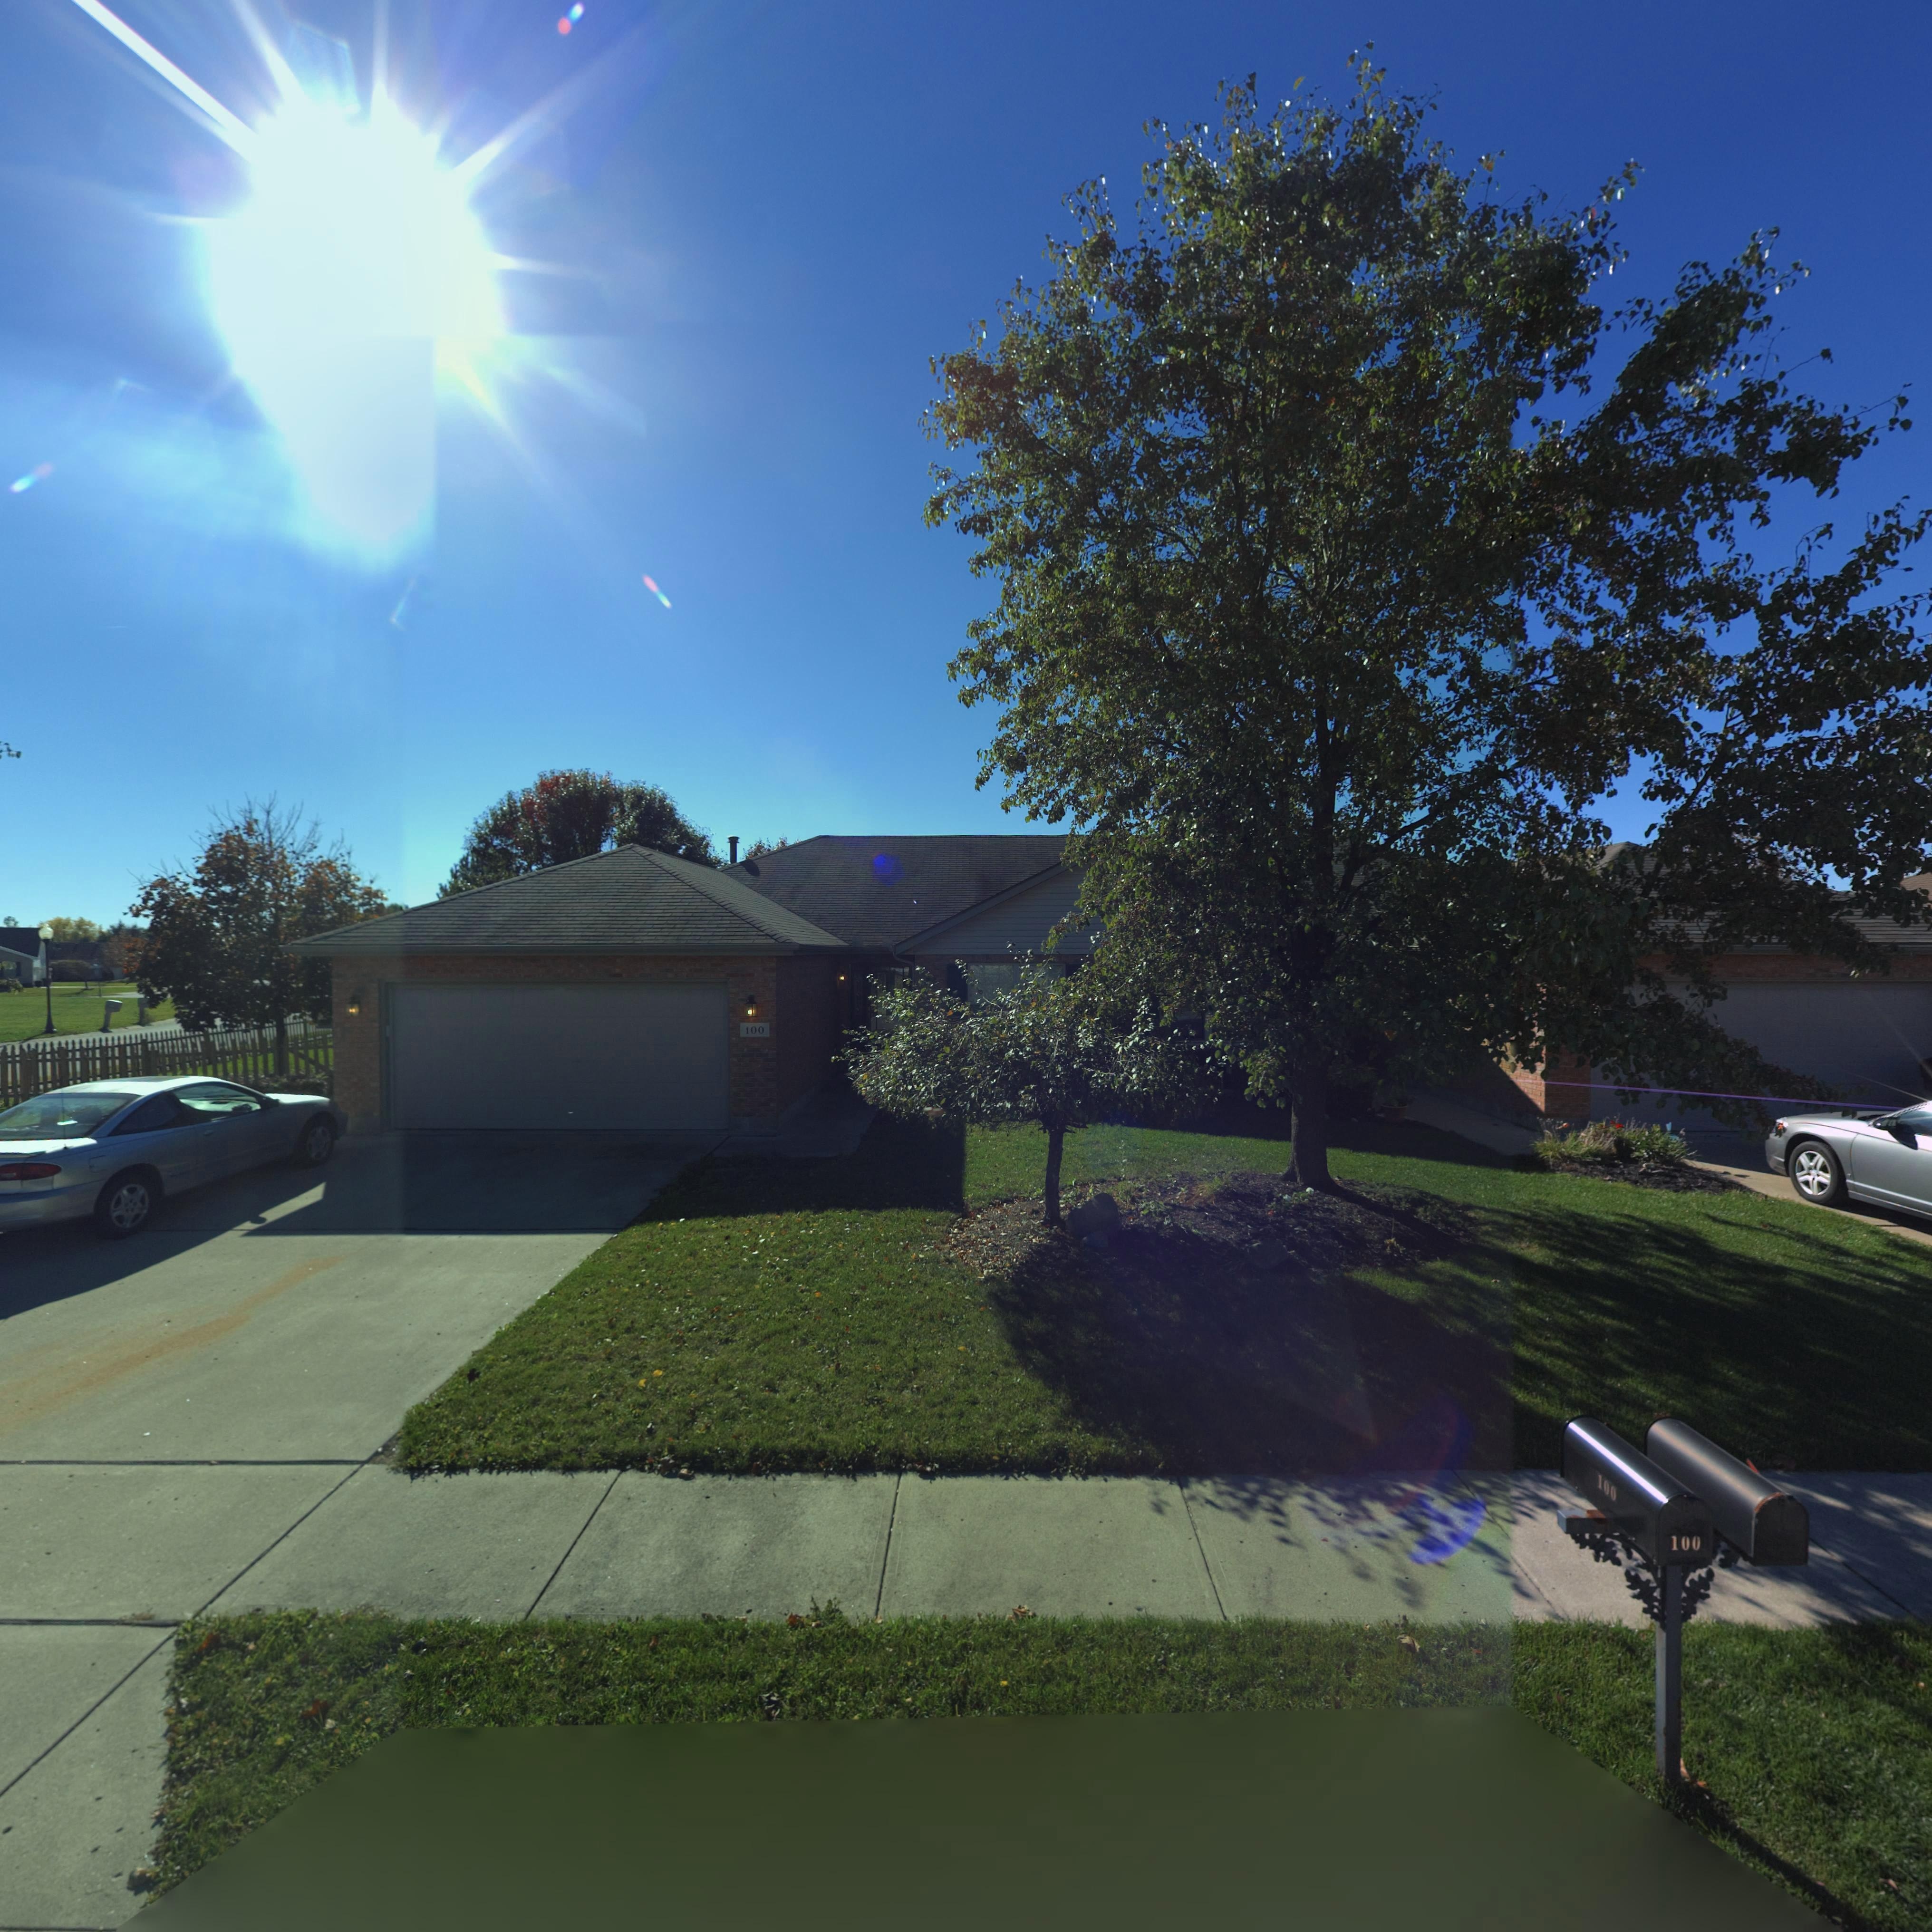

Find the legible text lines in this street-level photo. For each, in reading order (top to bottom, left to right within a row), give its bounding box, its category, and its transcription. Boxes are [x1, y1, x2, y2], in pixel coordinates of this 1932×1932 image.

[745, 1026, 764, 1034] StreetNumber: 100
[1597, 1473, 1618, 1503] StreetNumber: 100
[1671, 1535, 1701, 1552] StreetNumber: 100